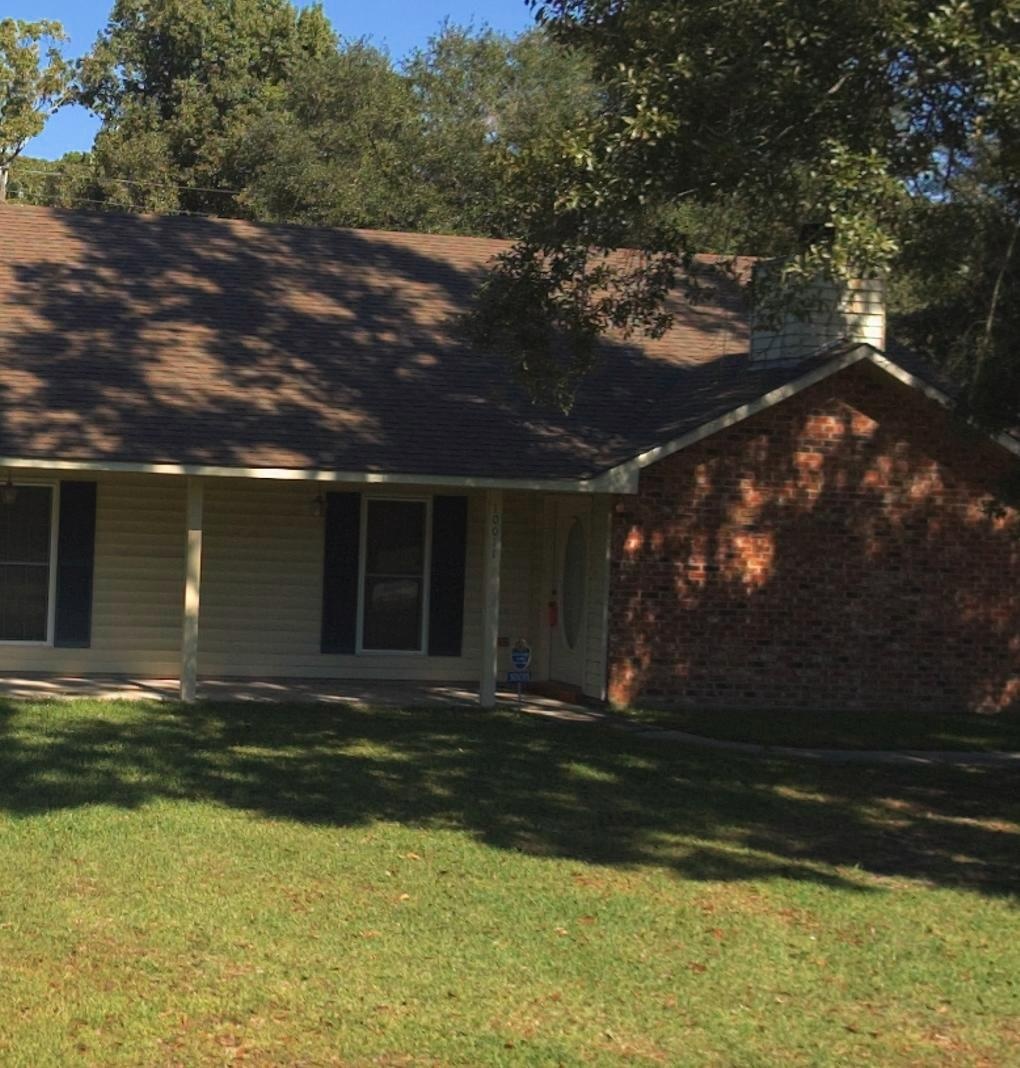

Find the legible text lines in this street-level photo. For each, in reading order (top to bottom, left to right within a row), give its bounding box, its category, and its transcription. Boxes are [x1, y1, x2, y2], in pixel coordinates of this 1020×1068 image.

[490, 501, 500, 561] StreetNumber: 10011
[508, 672, 530, 680] StreetNumber: 10011